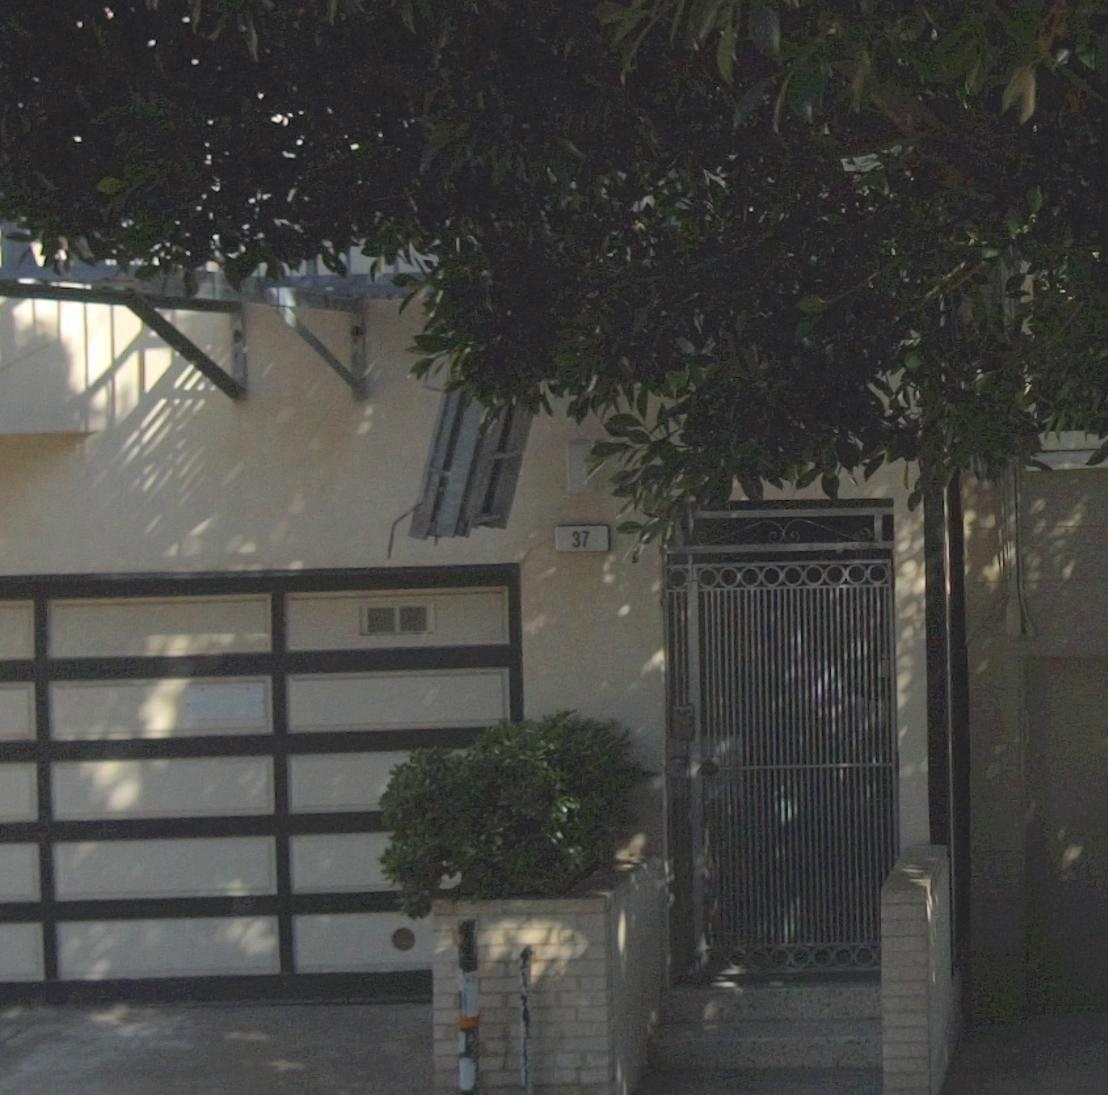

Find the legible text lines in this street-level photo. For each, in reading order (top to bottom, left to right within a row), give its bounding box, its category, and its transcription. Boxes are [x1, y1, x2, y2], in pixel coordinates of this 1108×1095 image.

[570, 529, 592, 549] StreetNumber: 37